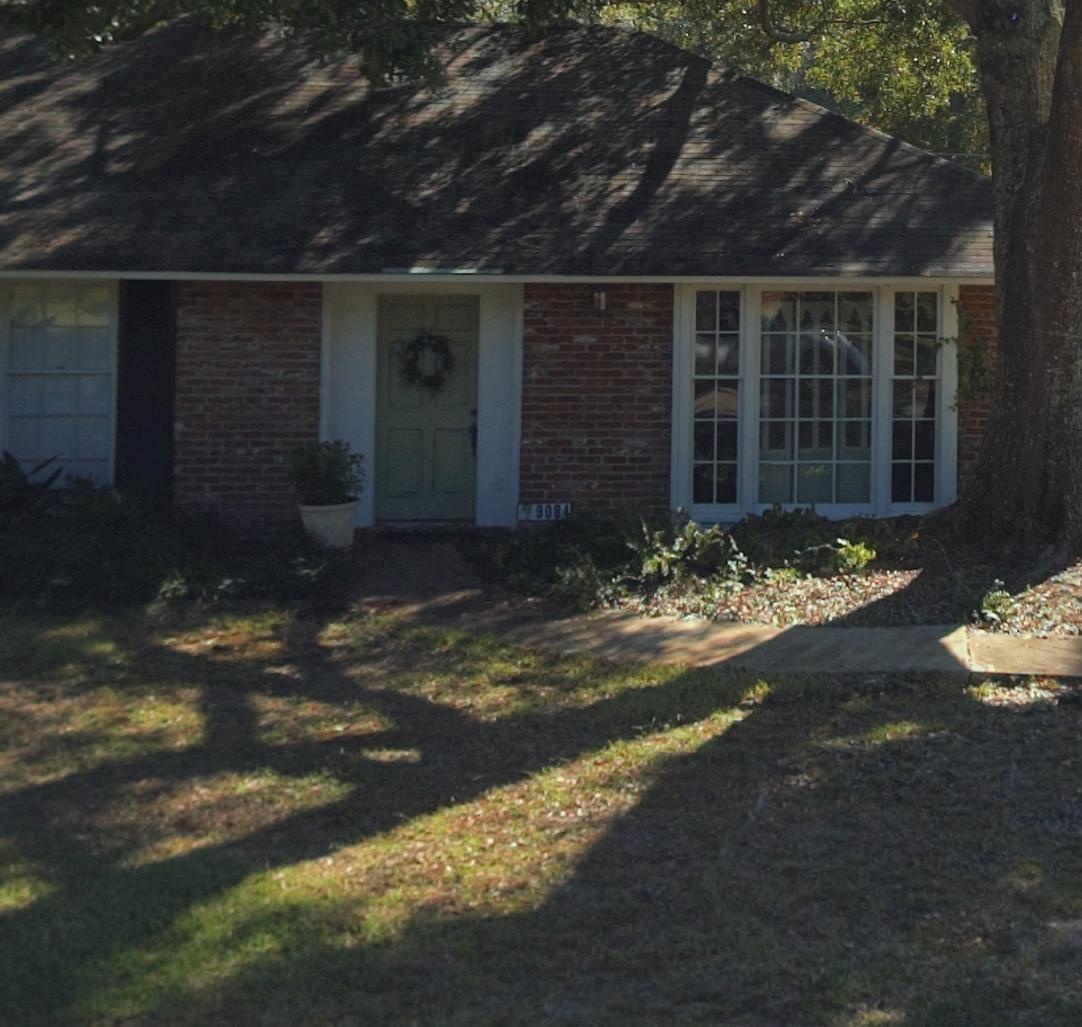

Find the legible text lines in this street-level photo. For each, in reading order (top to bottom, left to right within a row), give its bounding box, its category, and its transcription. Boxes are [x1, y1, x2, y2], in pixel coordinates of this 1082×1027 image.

[535, 502, 571, 520] StreetNumber: 9084